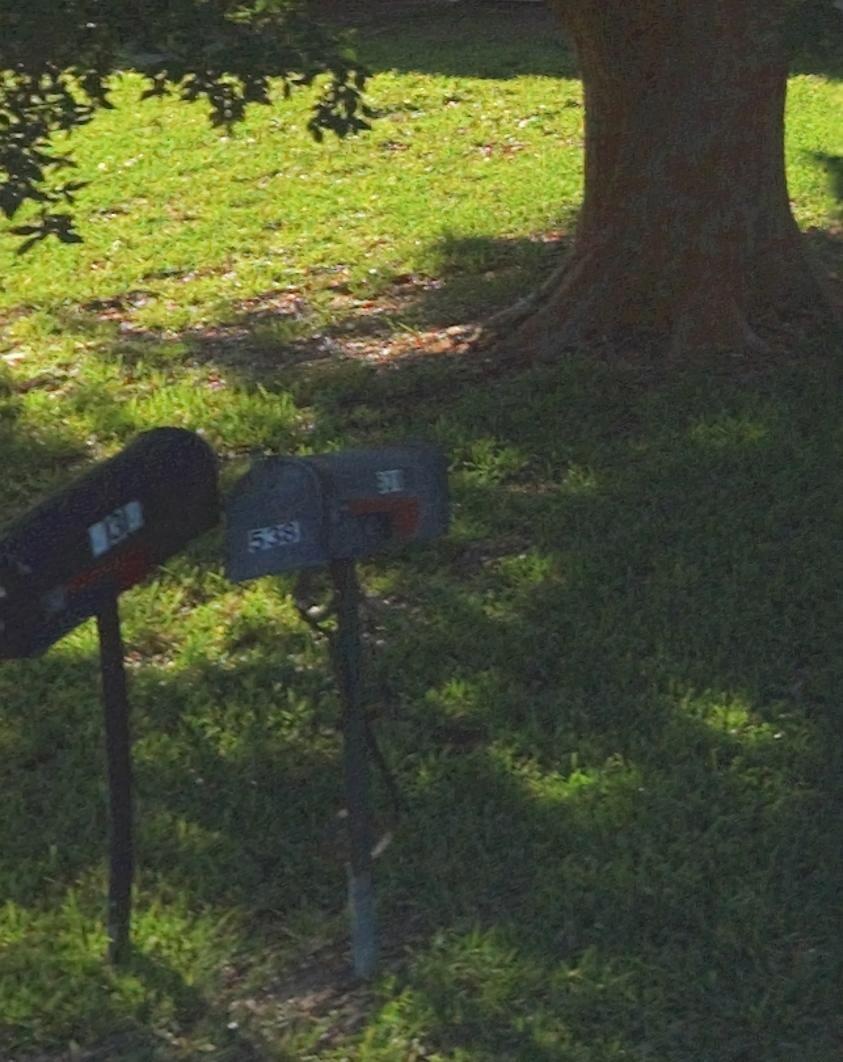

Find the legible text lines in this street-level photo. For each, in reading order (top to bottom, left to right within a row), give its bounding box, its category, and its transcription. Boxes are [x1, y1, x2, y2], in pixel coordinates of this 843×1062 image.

[376, 469, 403, 492] StreetNumber: 538
[94, 504, 134, 553] StreetNumber: *31
[248, 521, 298, 553] StreetNumber: 538